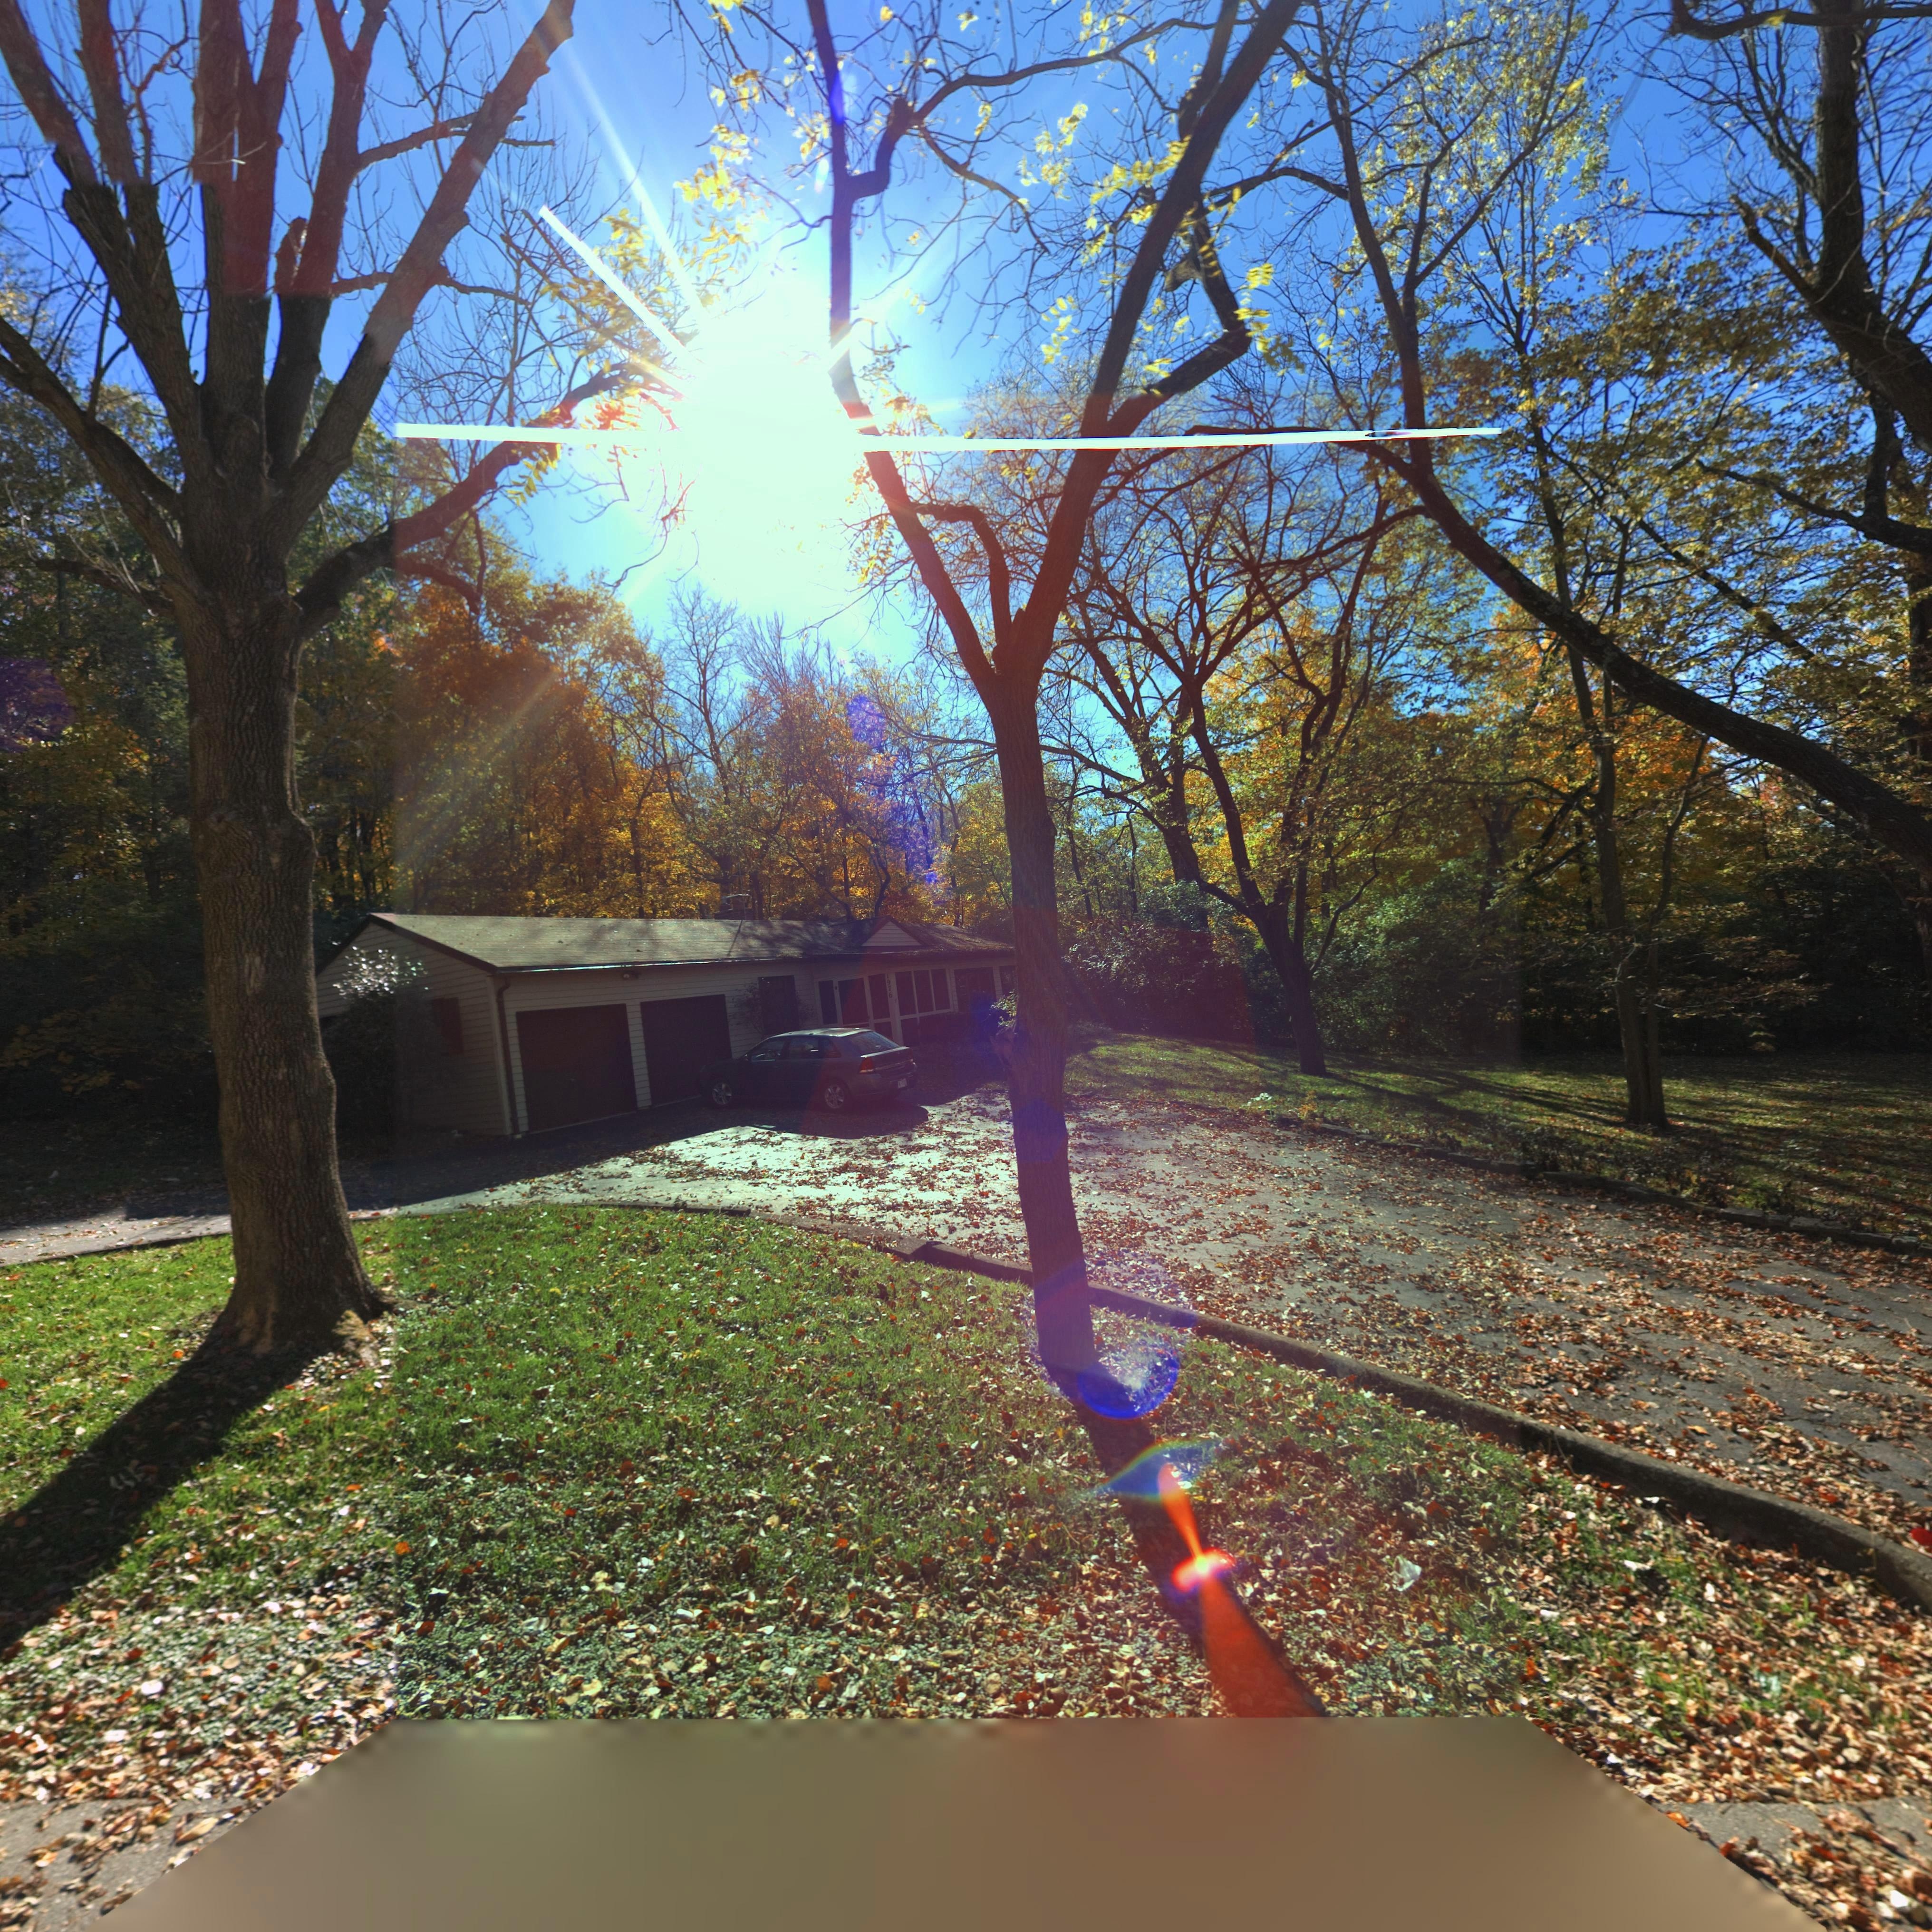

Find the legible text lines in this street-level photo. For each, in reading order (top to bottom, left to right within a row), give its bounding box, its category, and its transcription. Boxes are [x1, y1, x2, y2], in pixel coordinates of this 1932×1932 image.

[886, 972, 893, 999] StreetNumber: 1976